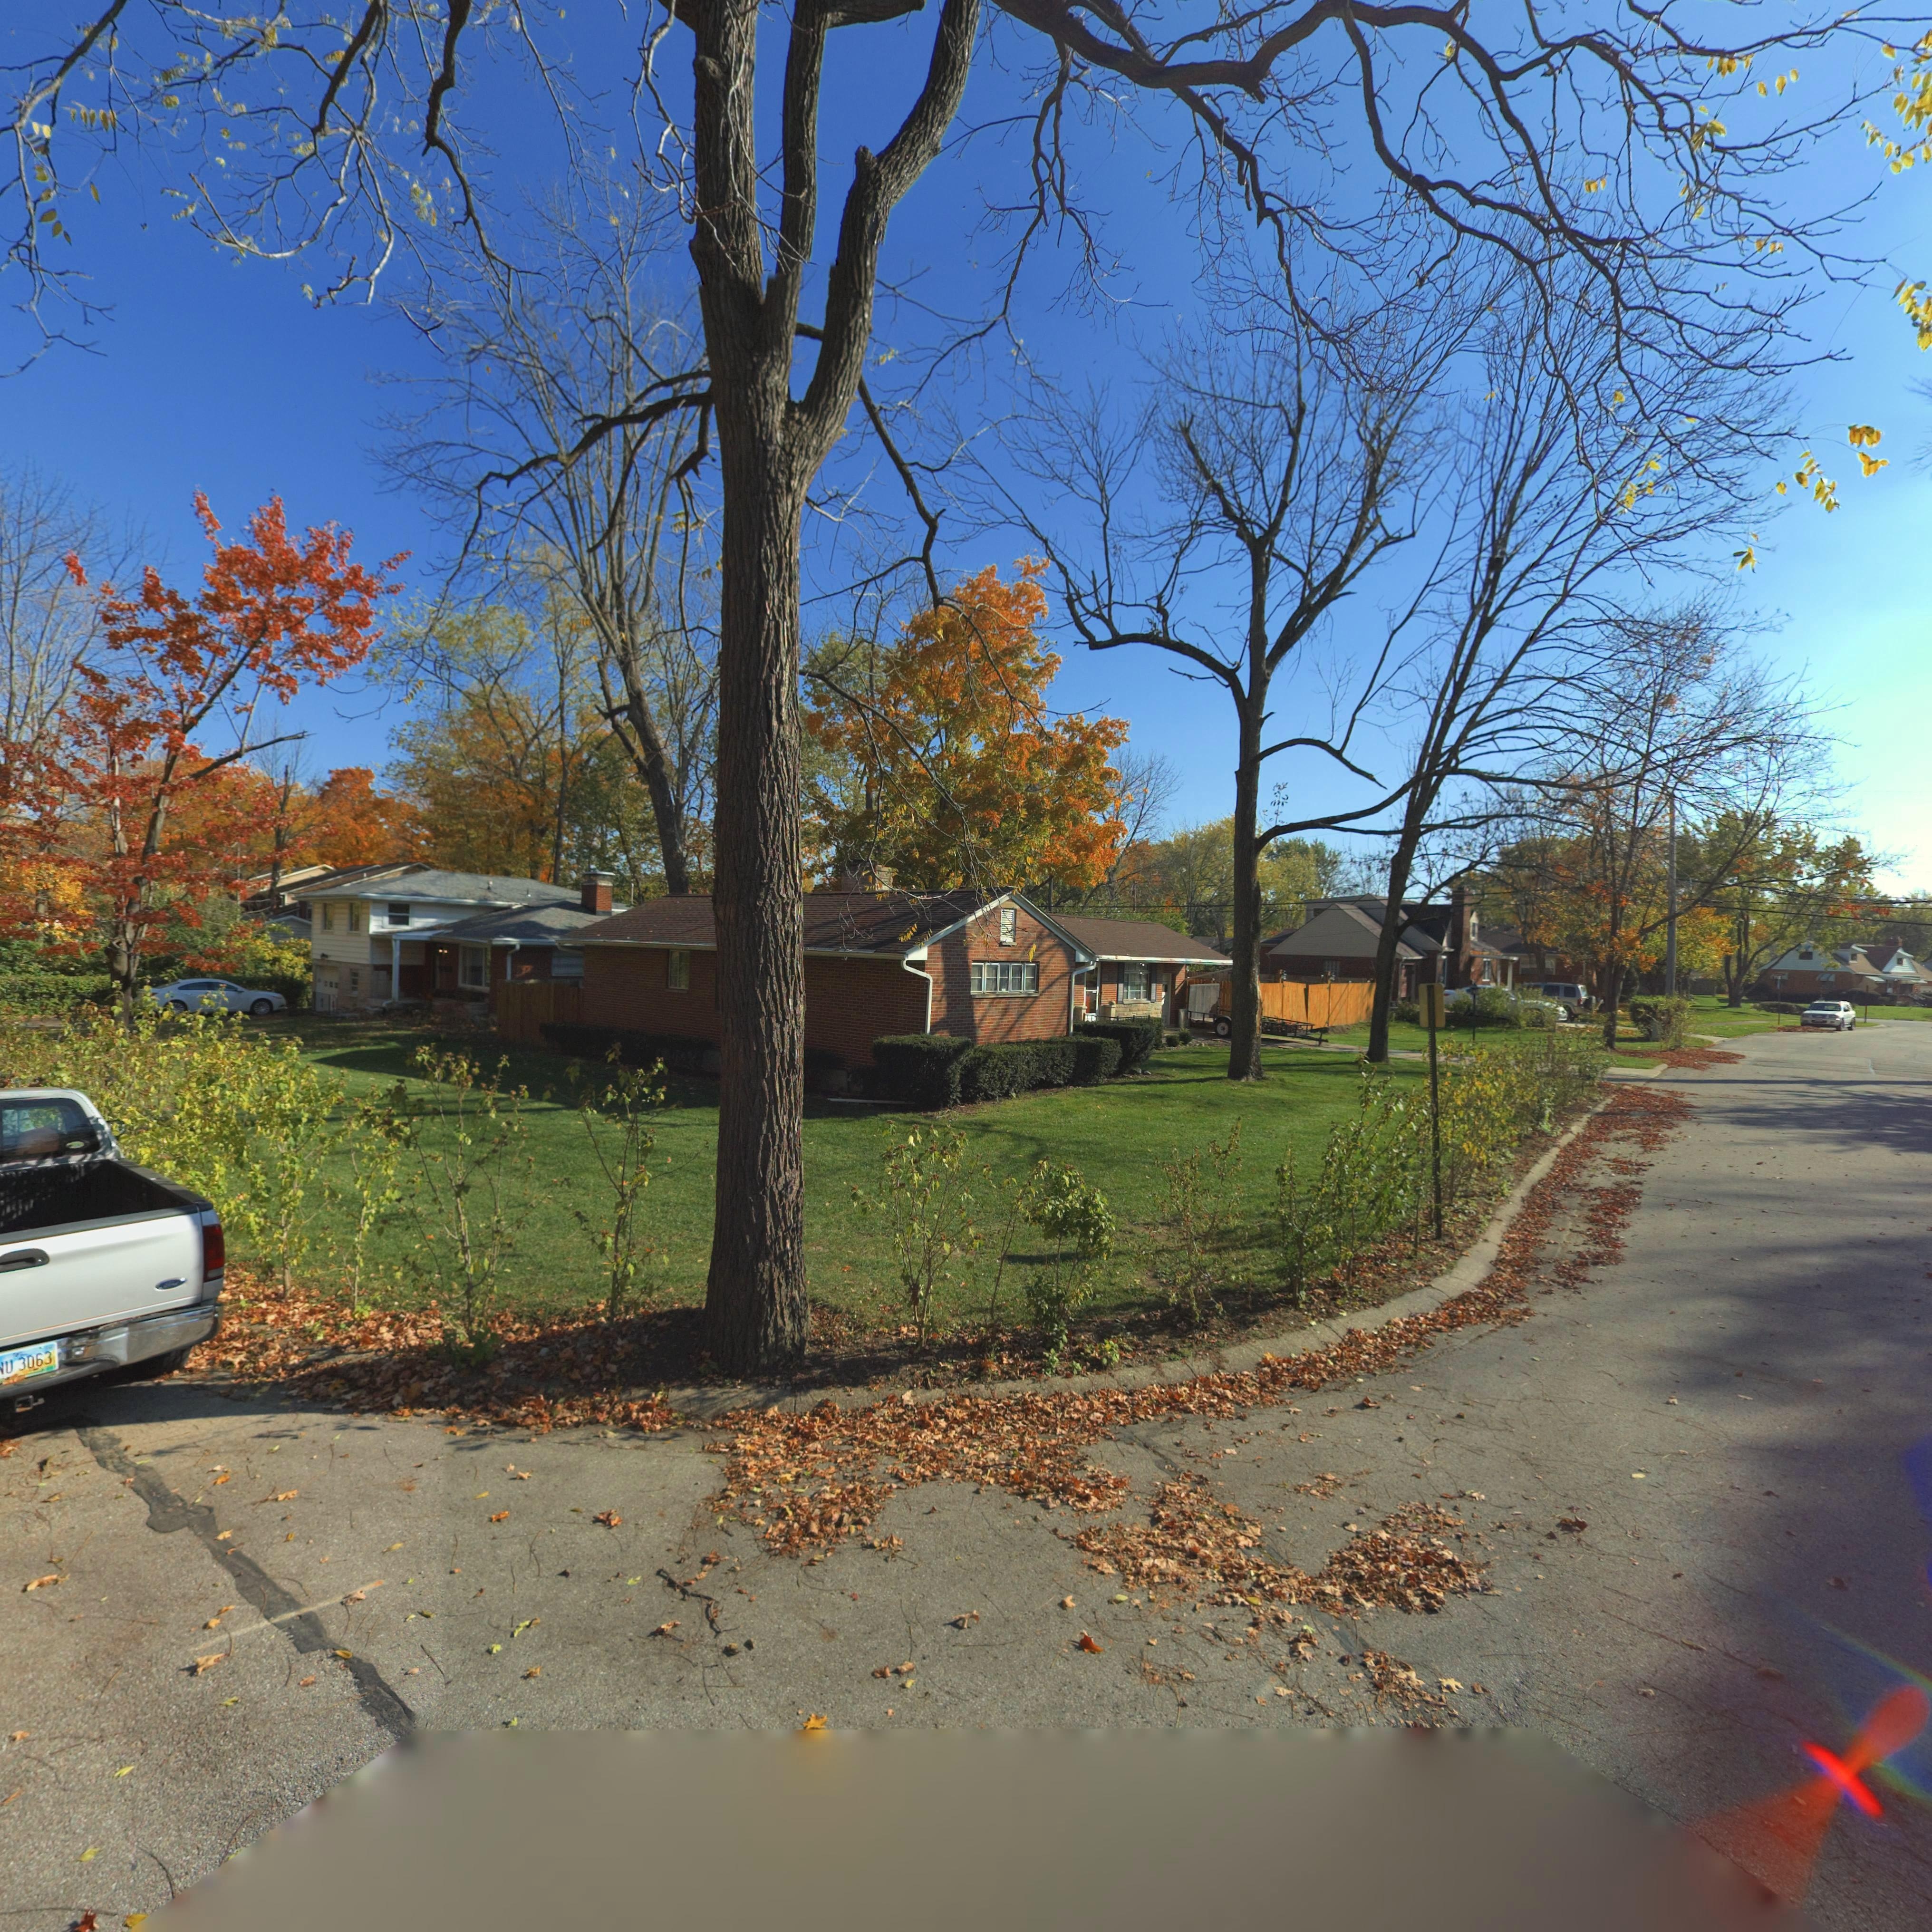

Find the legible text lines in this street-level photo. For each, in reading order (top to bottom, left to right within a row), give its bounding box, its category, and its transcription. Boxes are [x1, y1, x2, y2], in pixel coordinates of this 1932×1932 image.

[4, 1349, 52, 1375] None: U*3063